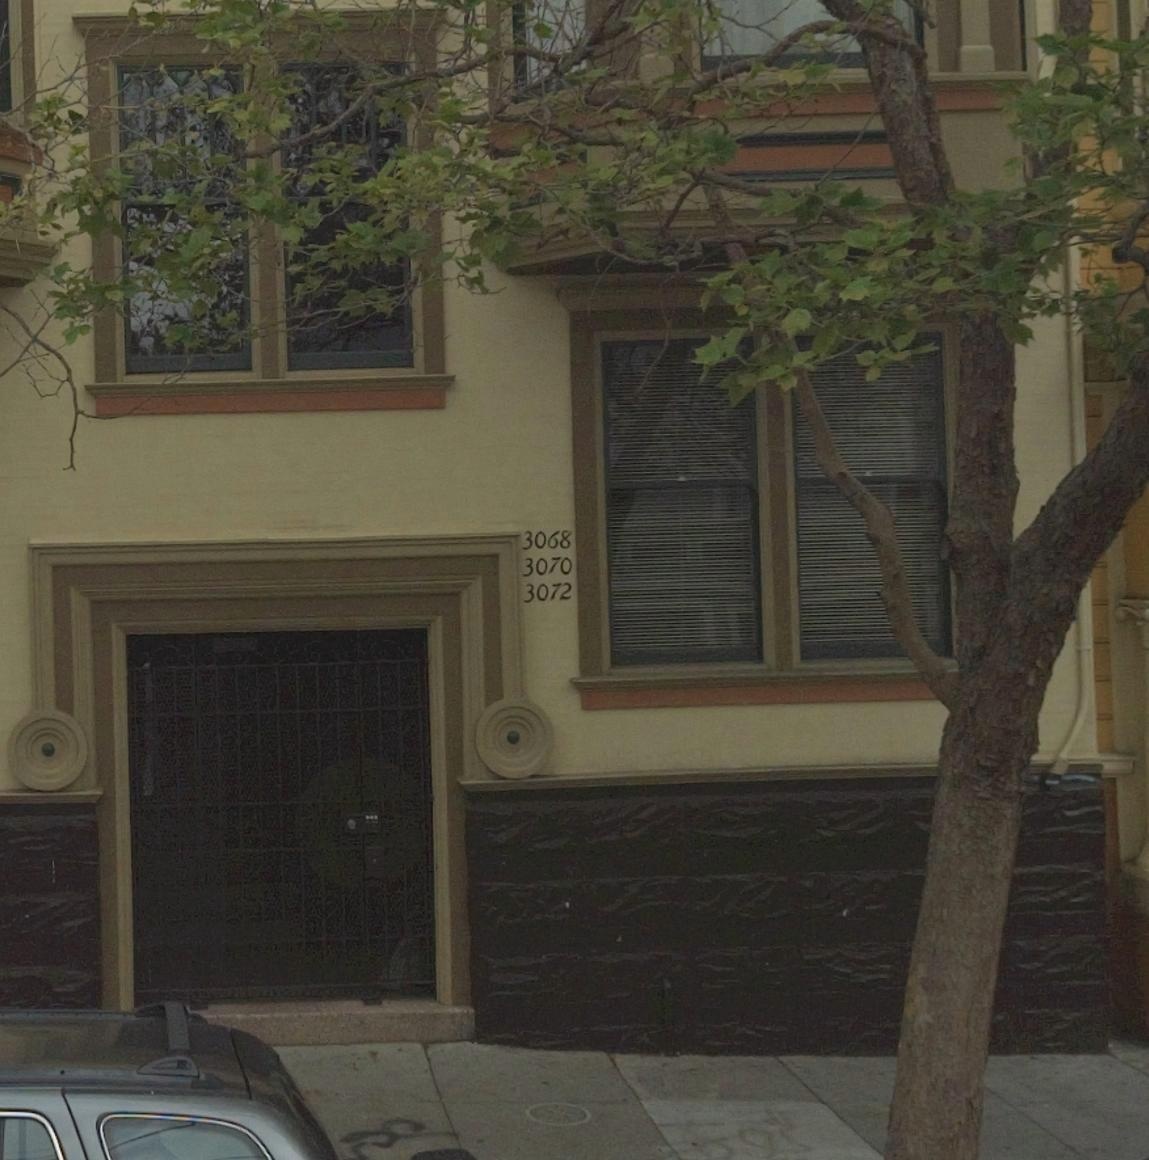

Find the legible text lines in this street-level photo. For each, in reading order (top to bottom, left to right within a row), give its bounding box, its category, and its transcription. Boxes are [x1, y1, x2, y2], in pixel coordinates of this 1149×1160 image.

[522, 528, 573, 551] StreetNumber: 3068
[522, 555, 573, 578] StreetNumber: 3070
[522, 582, 573, 604] StreetNumber: 3072